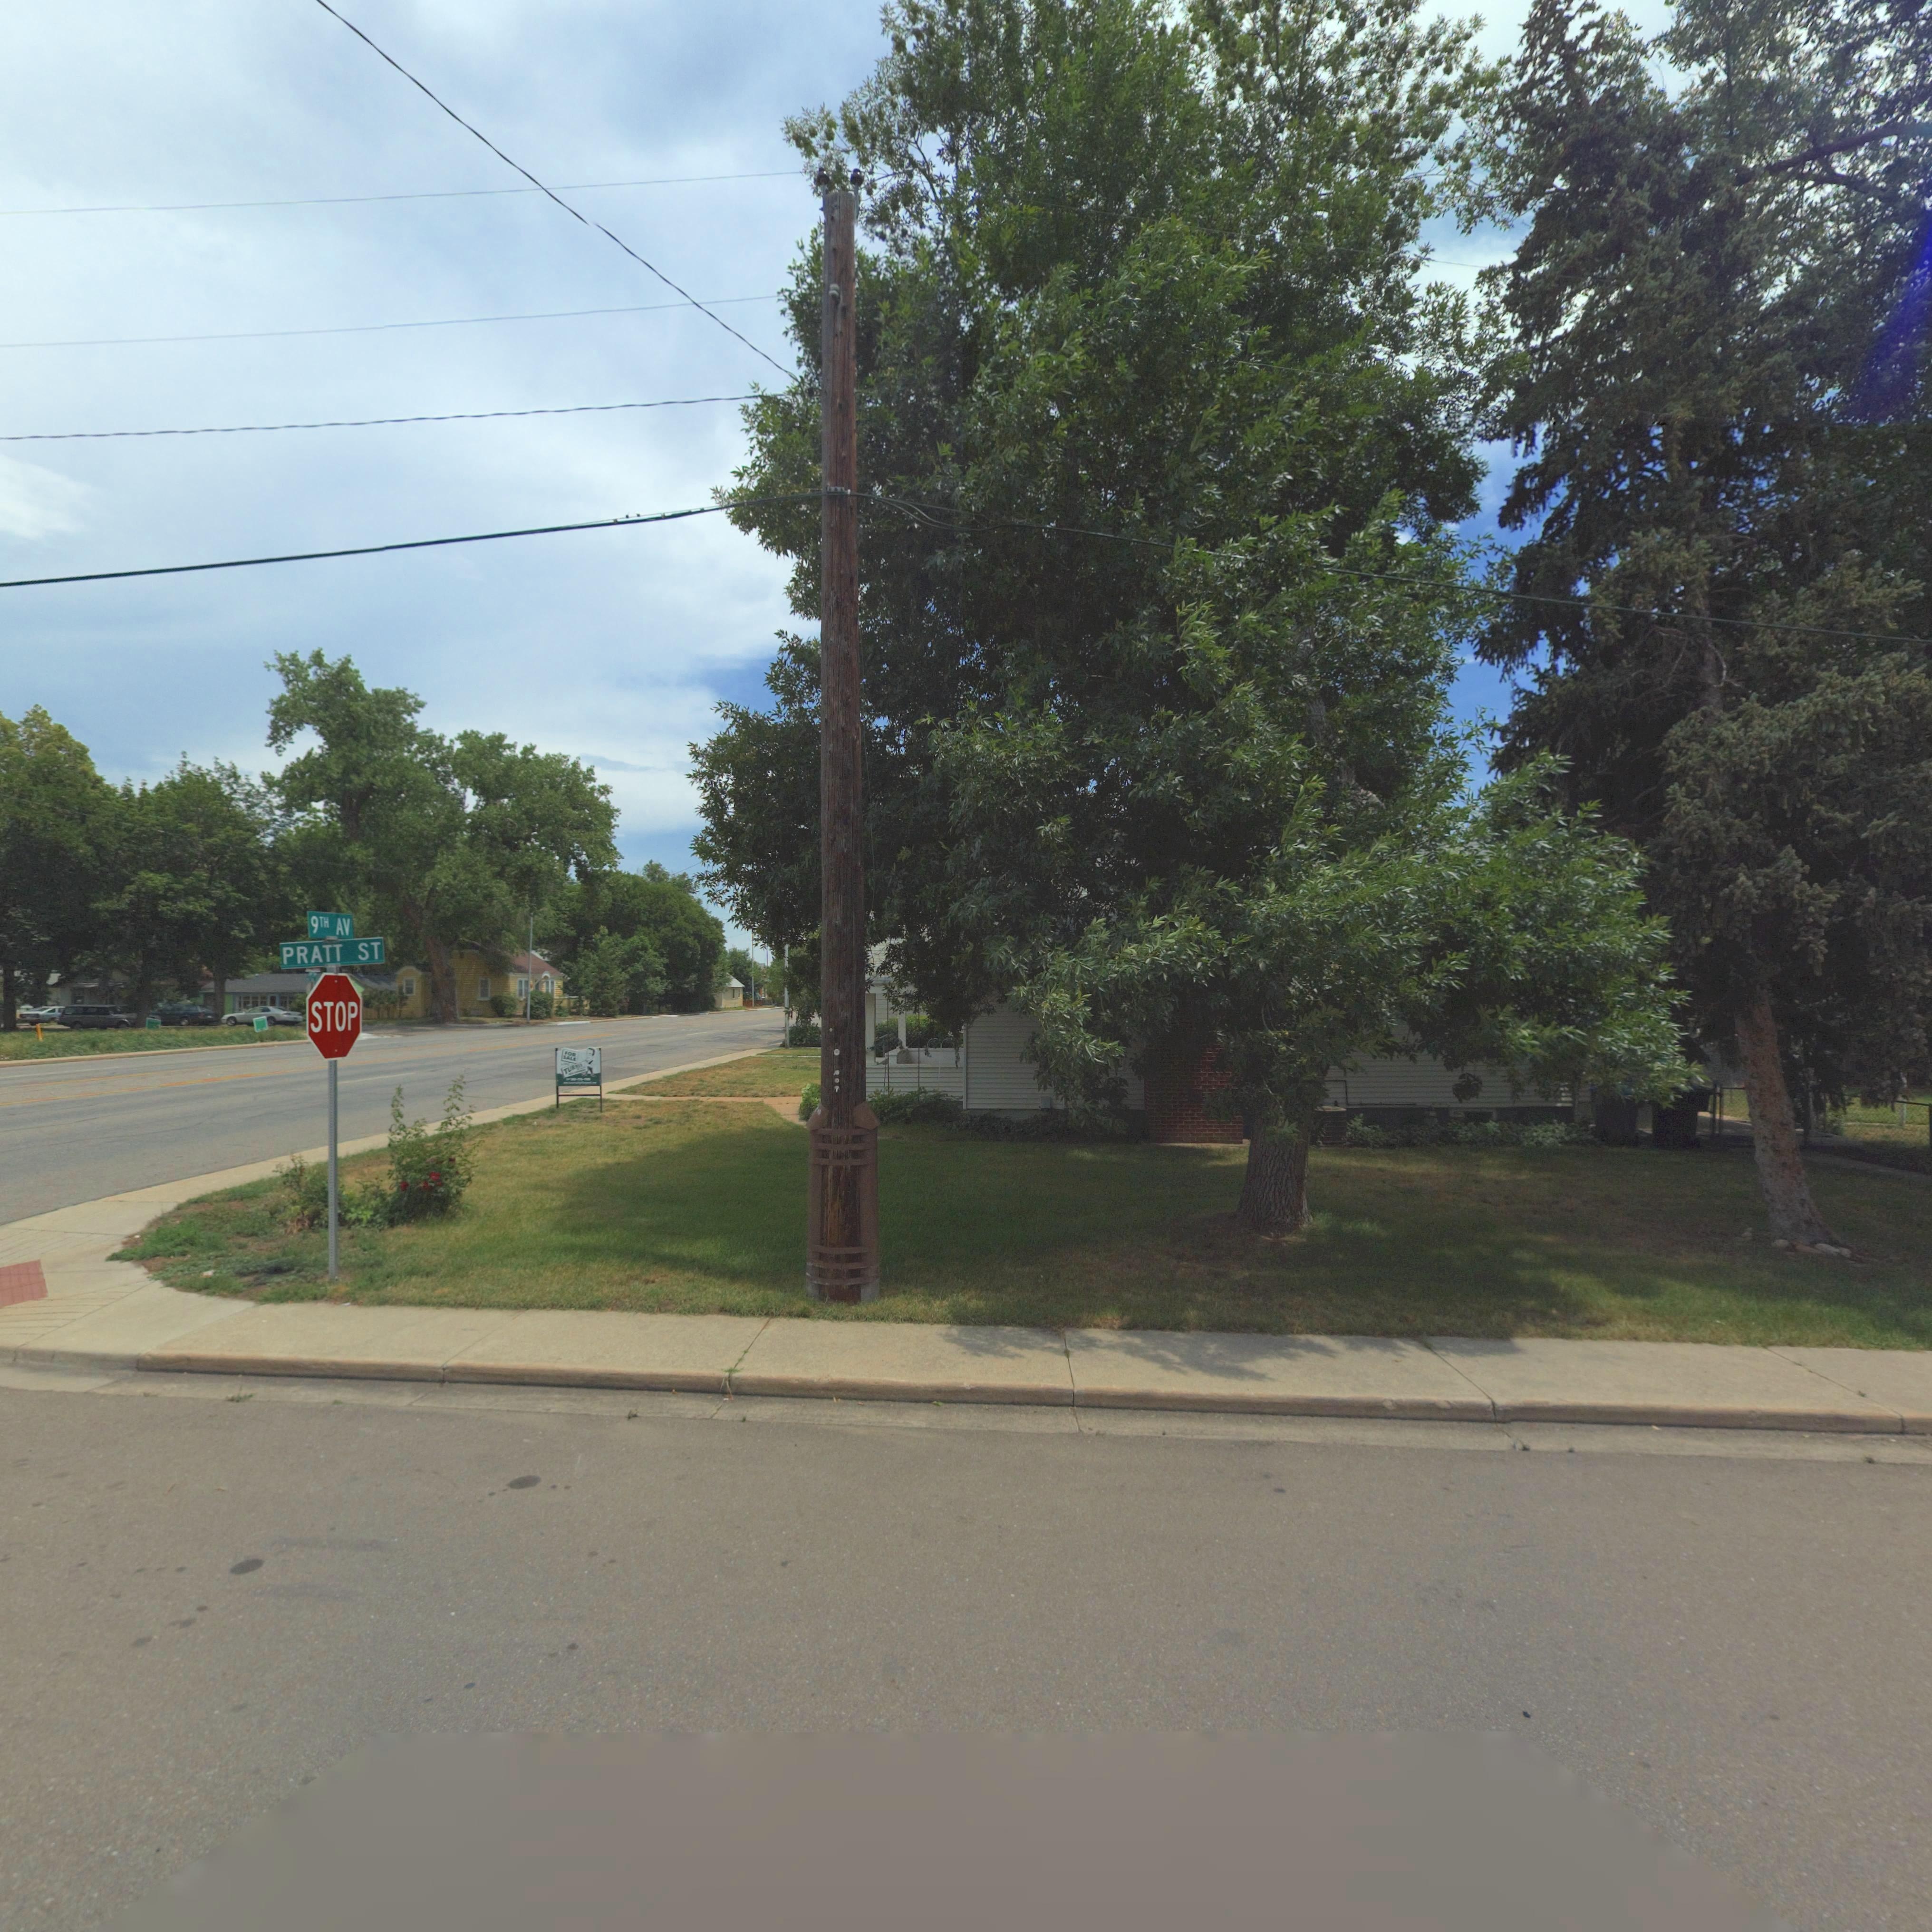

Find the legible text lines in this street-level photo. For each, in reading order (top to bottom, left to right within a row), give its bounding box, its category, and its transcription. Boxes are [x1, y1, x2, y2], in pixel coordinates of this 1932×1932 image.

[310, 915, 350, 936] StreetName: 9TH AV
[282, 941, 381, 965] StreetName: PRATT ST